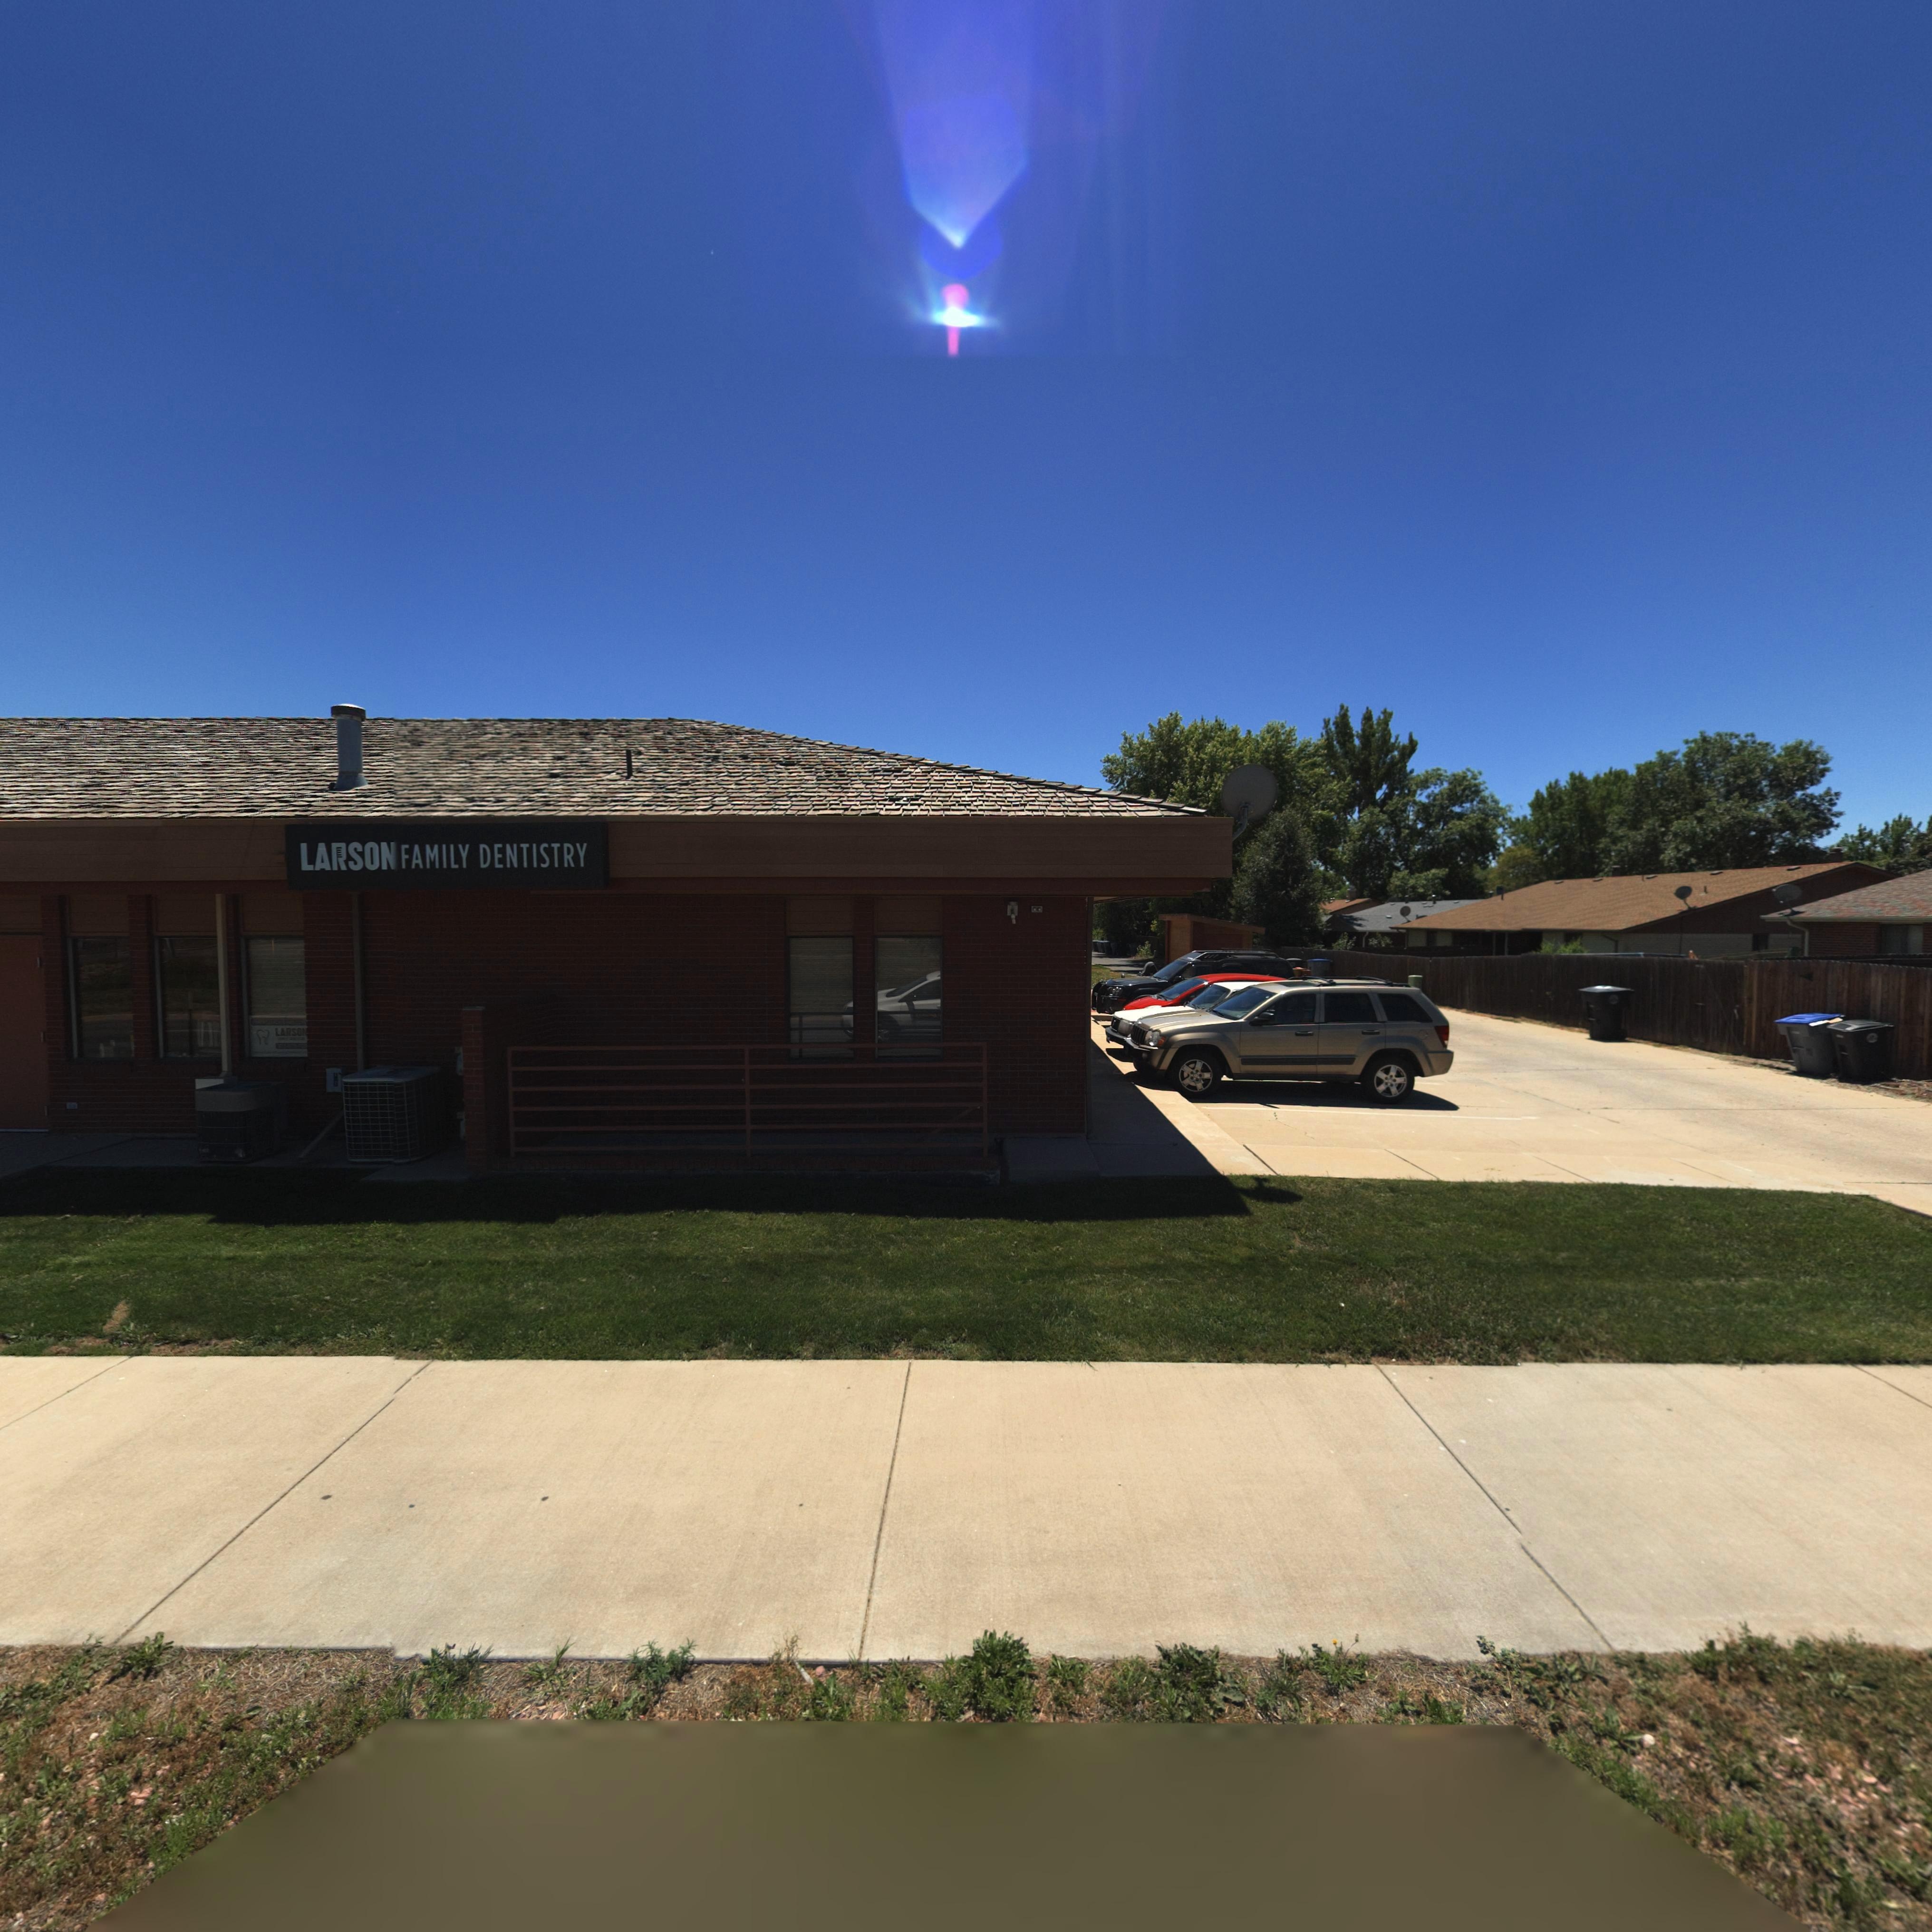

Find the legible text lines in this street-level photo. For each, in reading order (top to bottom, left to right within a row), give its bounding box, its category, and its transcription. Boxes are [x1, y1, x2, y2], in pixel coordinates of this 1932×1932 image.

[301, 841, 588, 871] BusinessName: LARSON FAMILY DESTISTRY